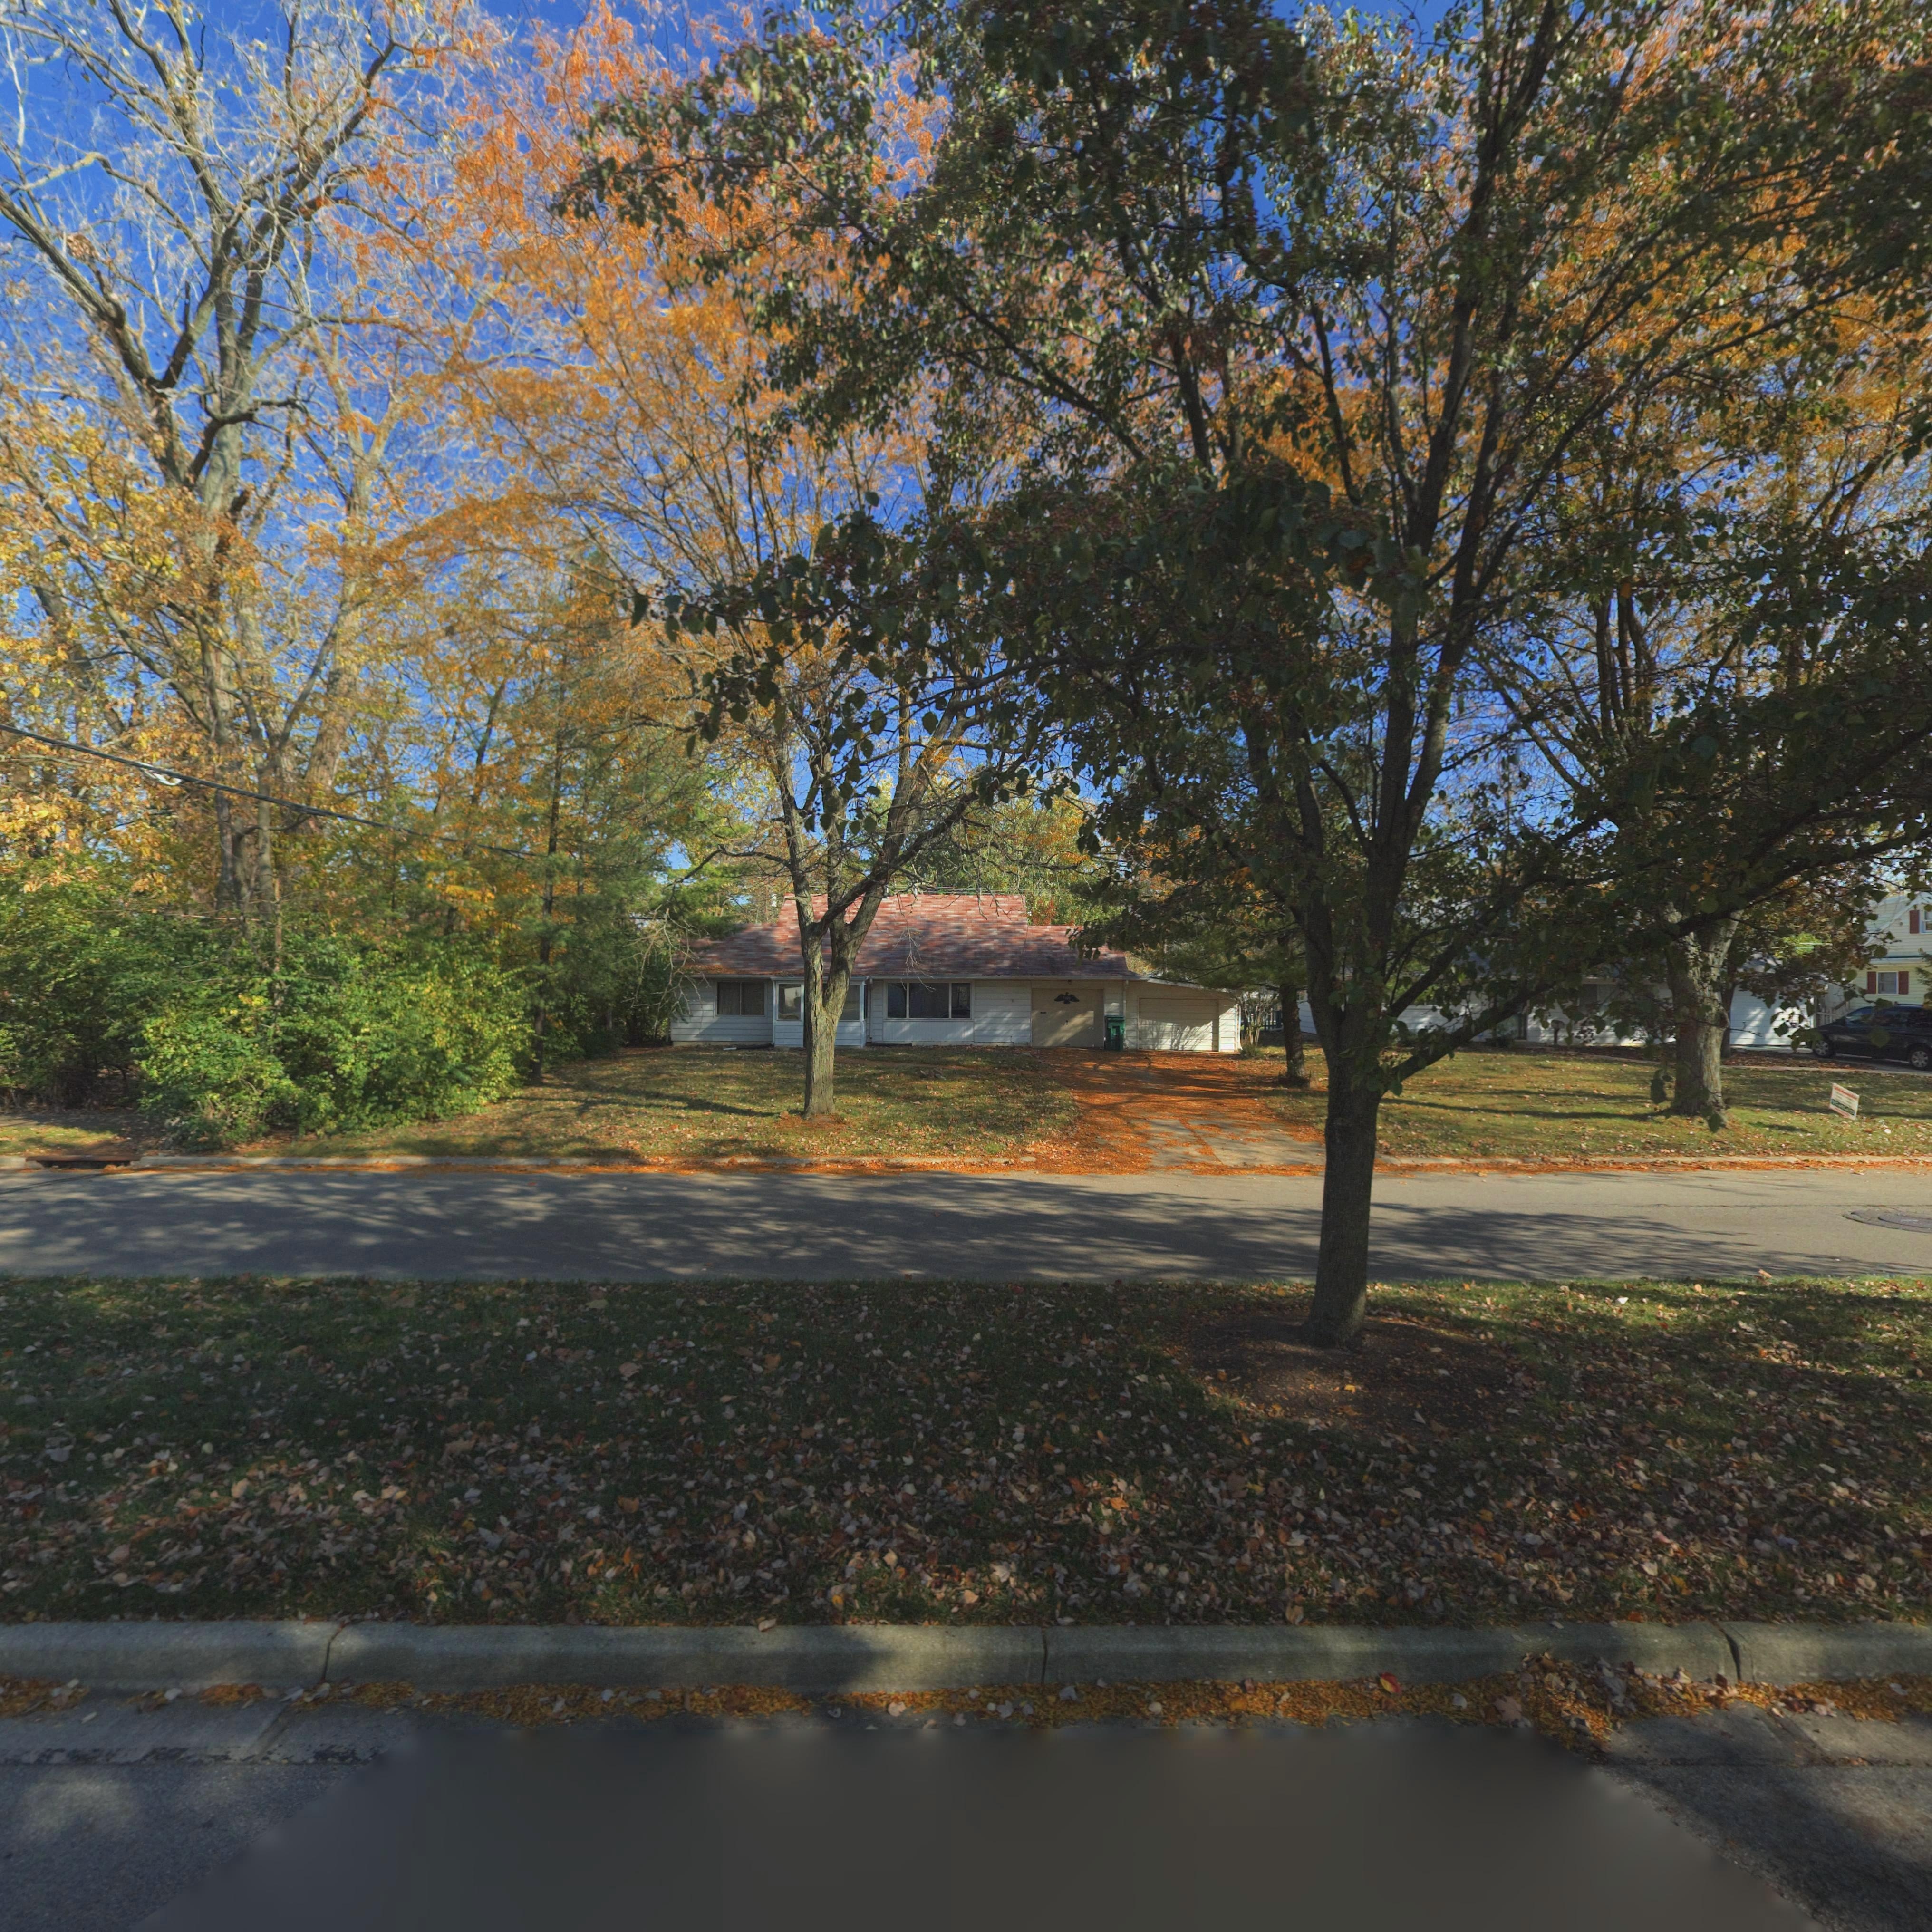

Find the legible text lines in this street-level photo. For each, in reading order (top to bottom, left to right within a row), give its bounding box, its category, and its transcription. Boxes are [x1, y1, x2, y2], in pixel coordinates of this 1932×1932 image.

[1063, 996, 1071, 1000] StreetNumber: 3***